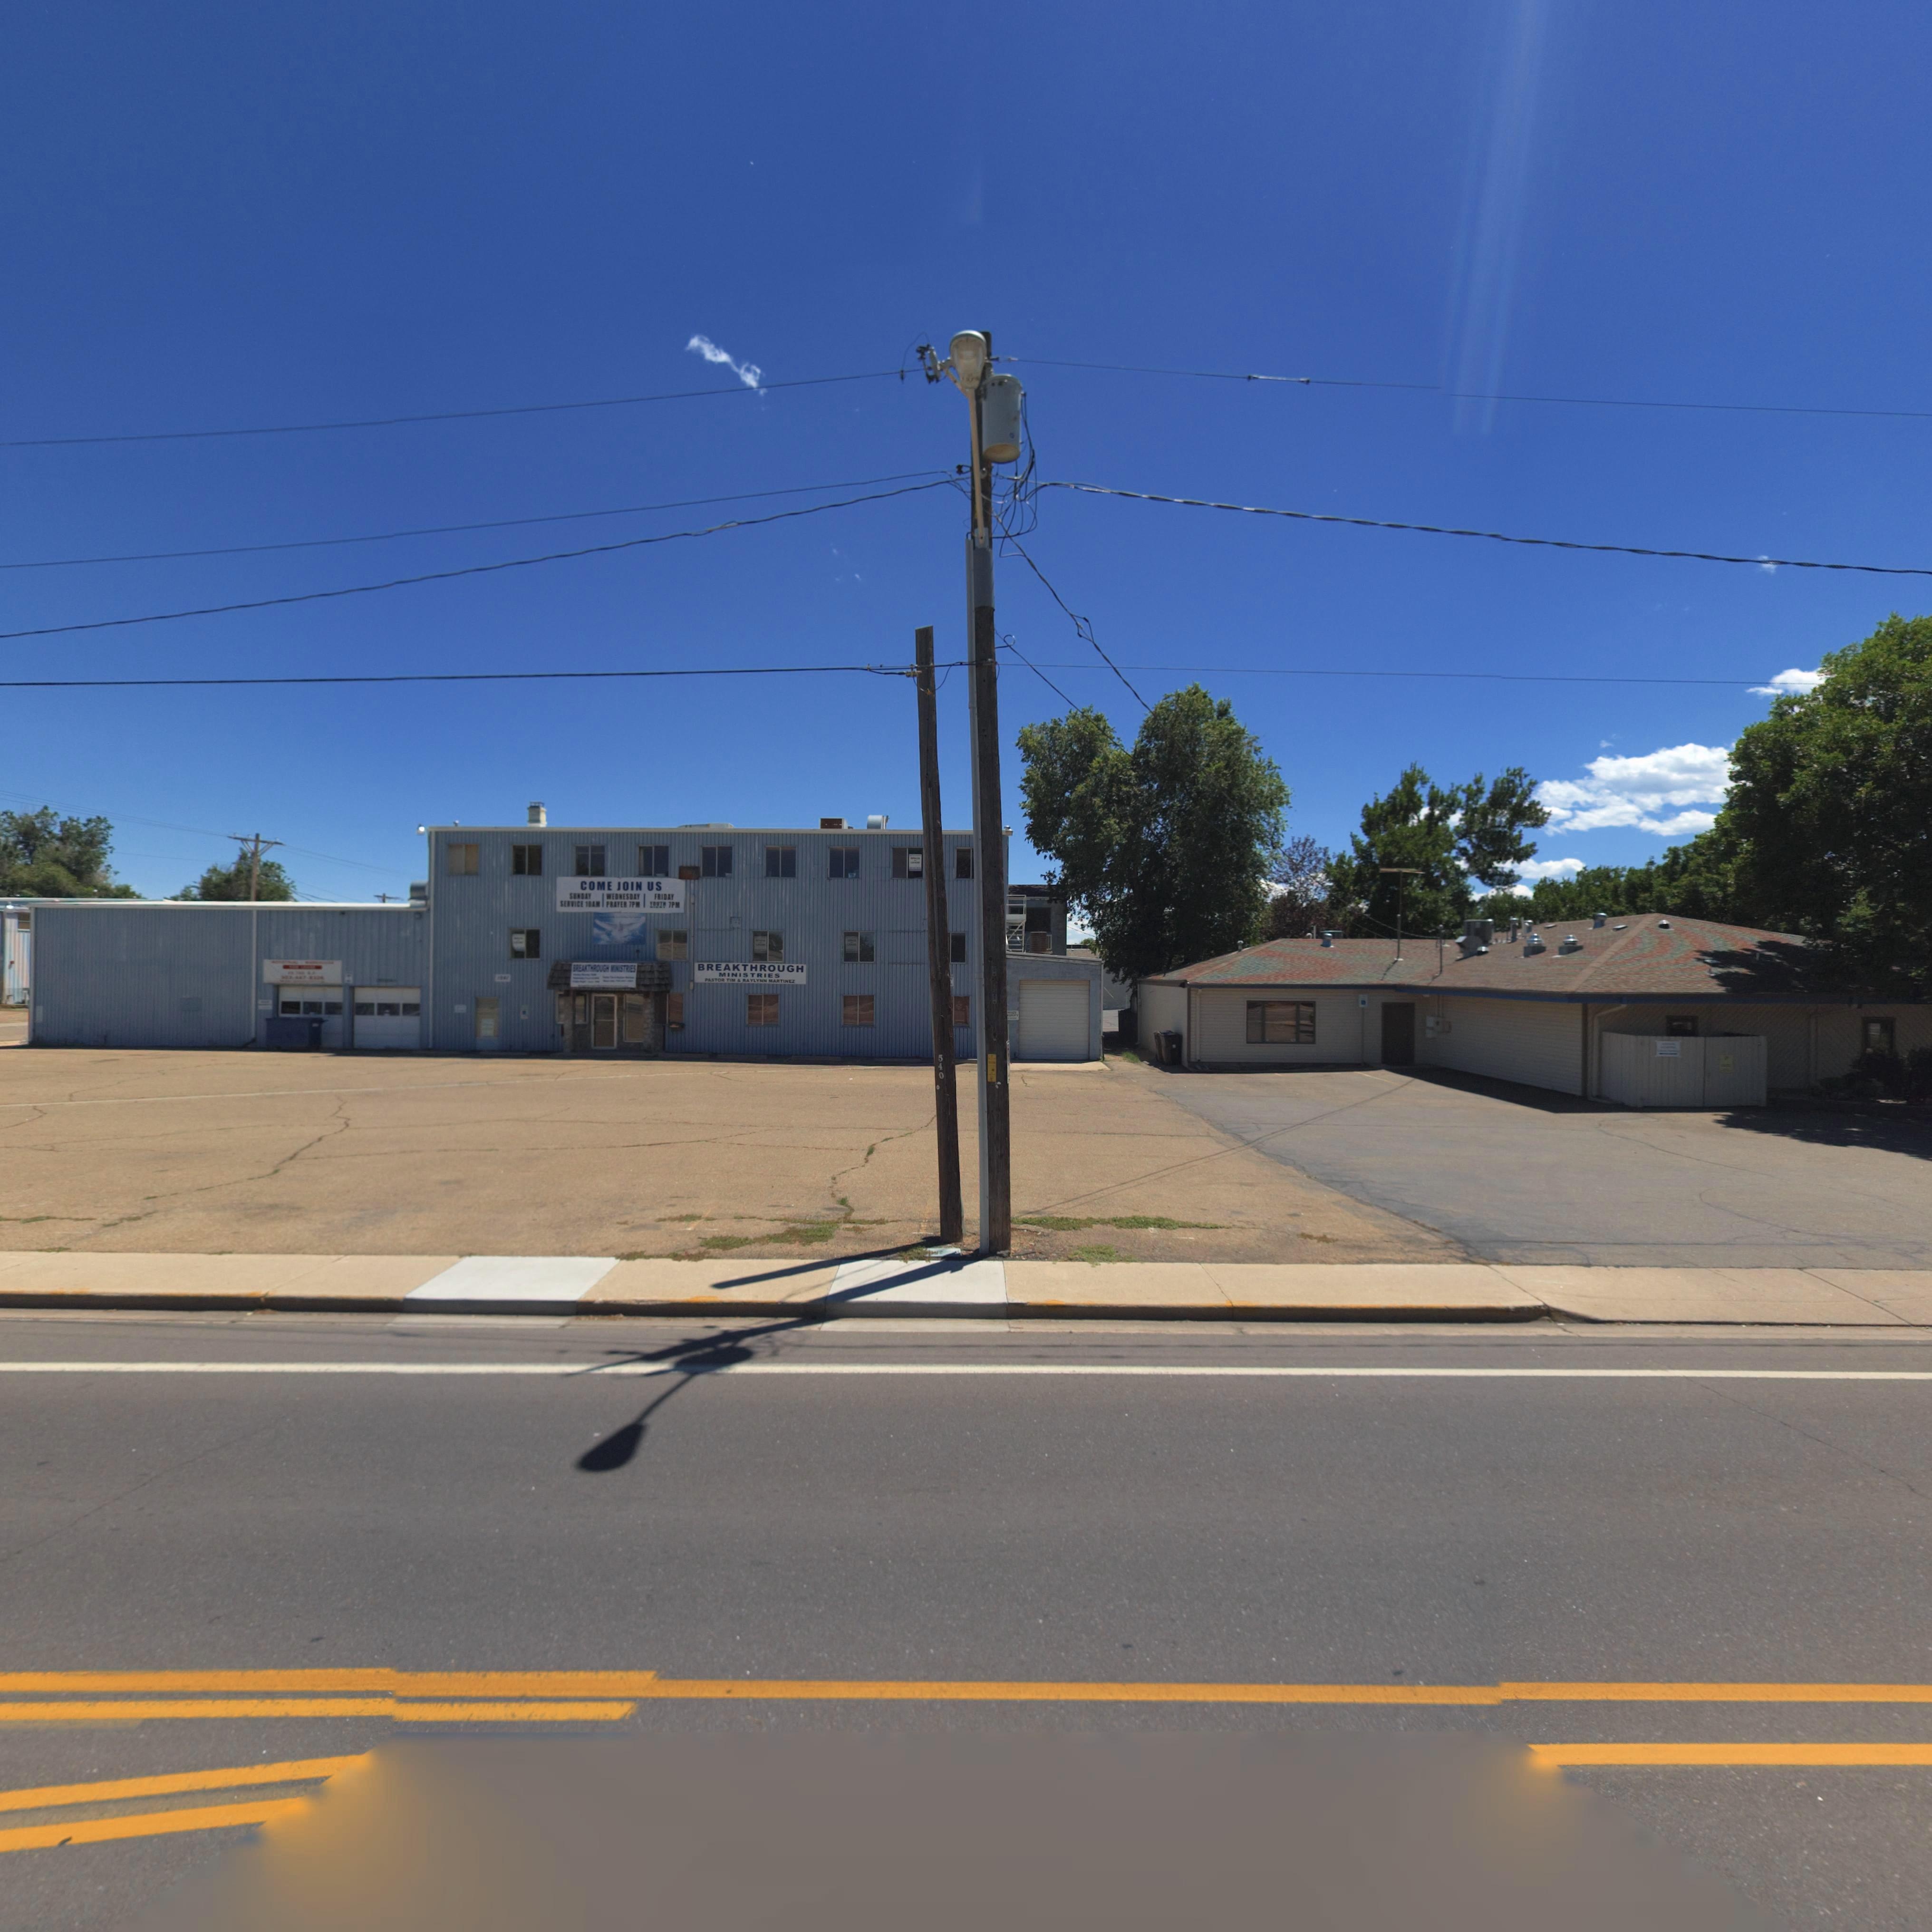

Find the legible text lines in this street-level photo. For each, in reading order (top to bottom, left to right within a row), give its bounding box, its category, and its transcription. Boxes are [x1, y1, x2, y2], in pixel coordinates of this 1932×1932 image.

[572, 964, 636, 973] BusinessName: BREAKTHROUGH MINISTRIES
[697, 963, 803, 972] BusinessName: BREAKTHROUGH
[497, 974, 510, 980] StreetNumber: 124*
[718, 972, 780, 978] BusinessName: MINISTRIES